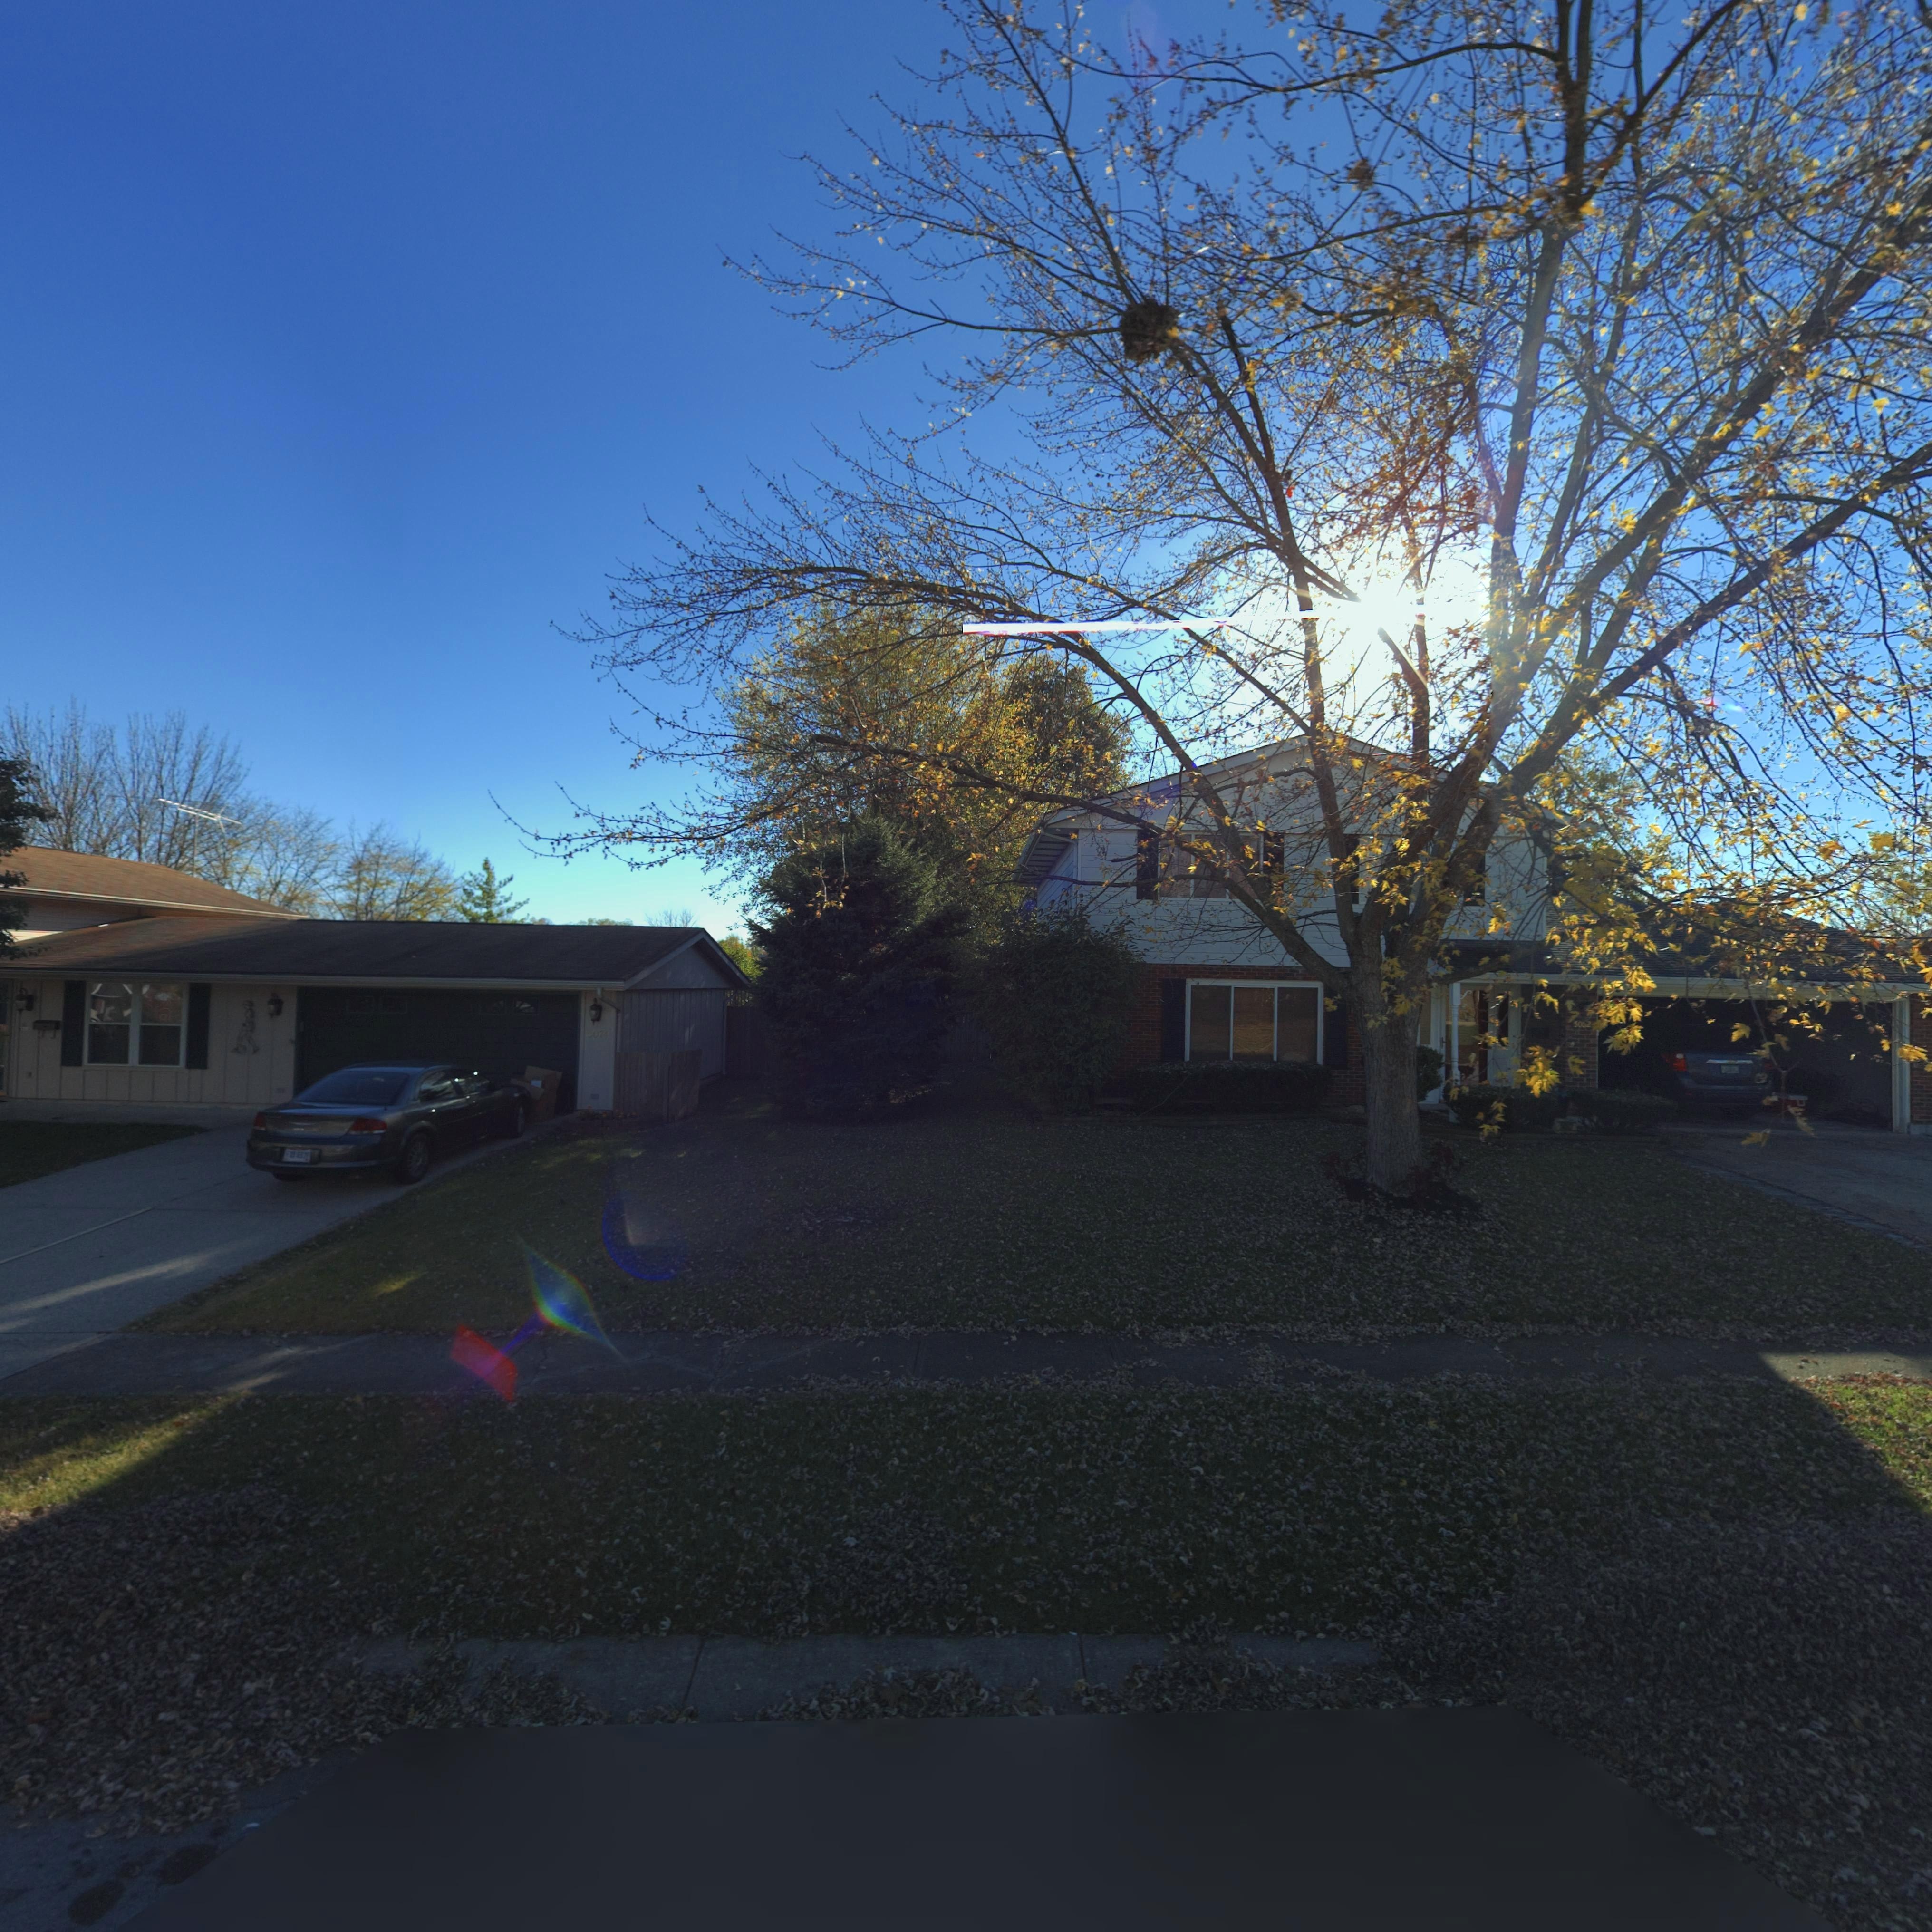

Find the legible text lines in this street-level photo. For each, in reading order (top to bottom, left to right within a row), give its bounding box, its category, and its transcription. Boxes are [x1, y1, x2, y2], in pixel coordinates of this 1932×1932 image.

[1574, 1020, 1592, 1028] StreetNumber: 50*2
[587, 1030, 608, 1039] StreetNumber: 5074